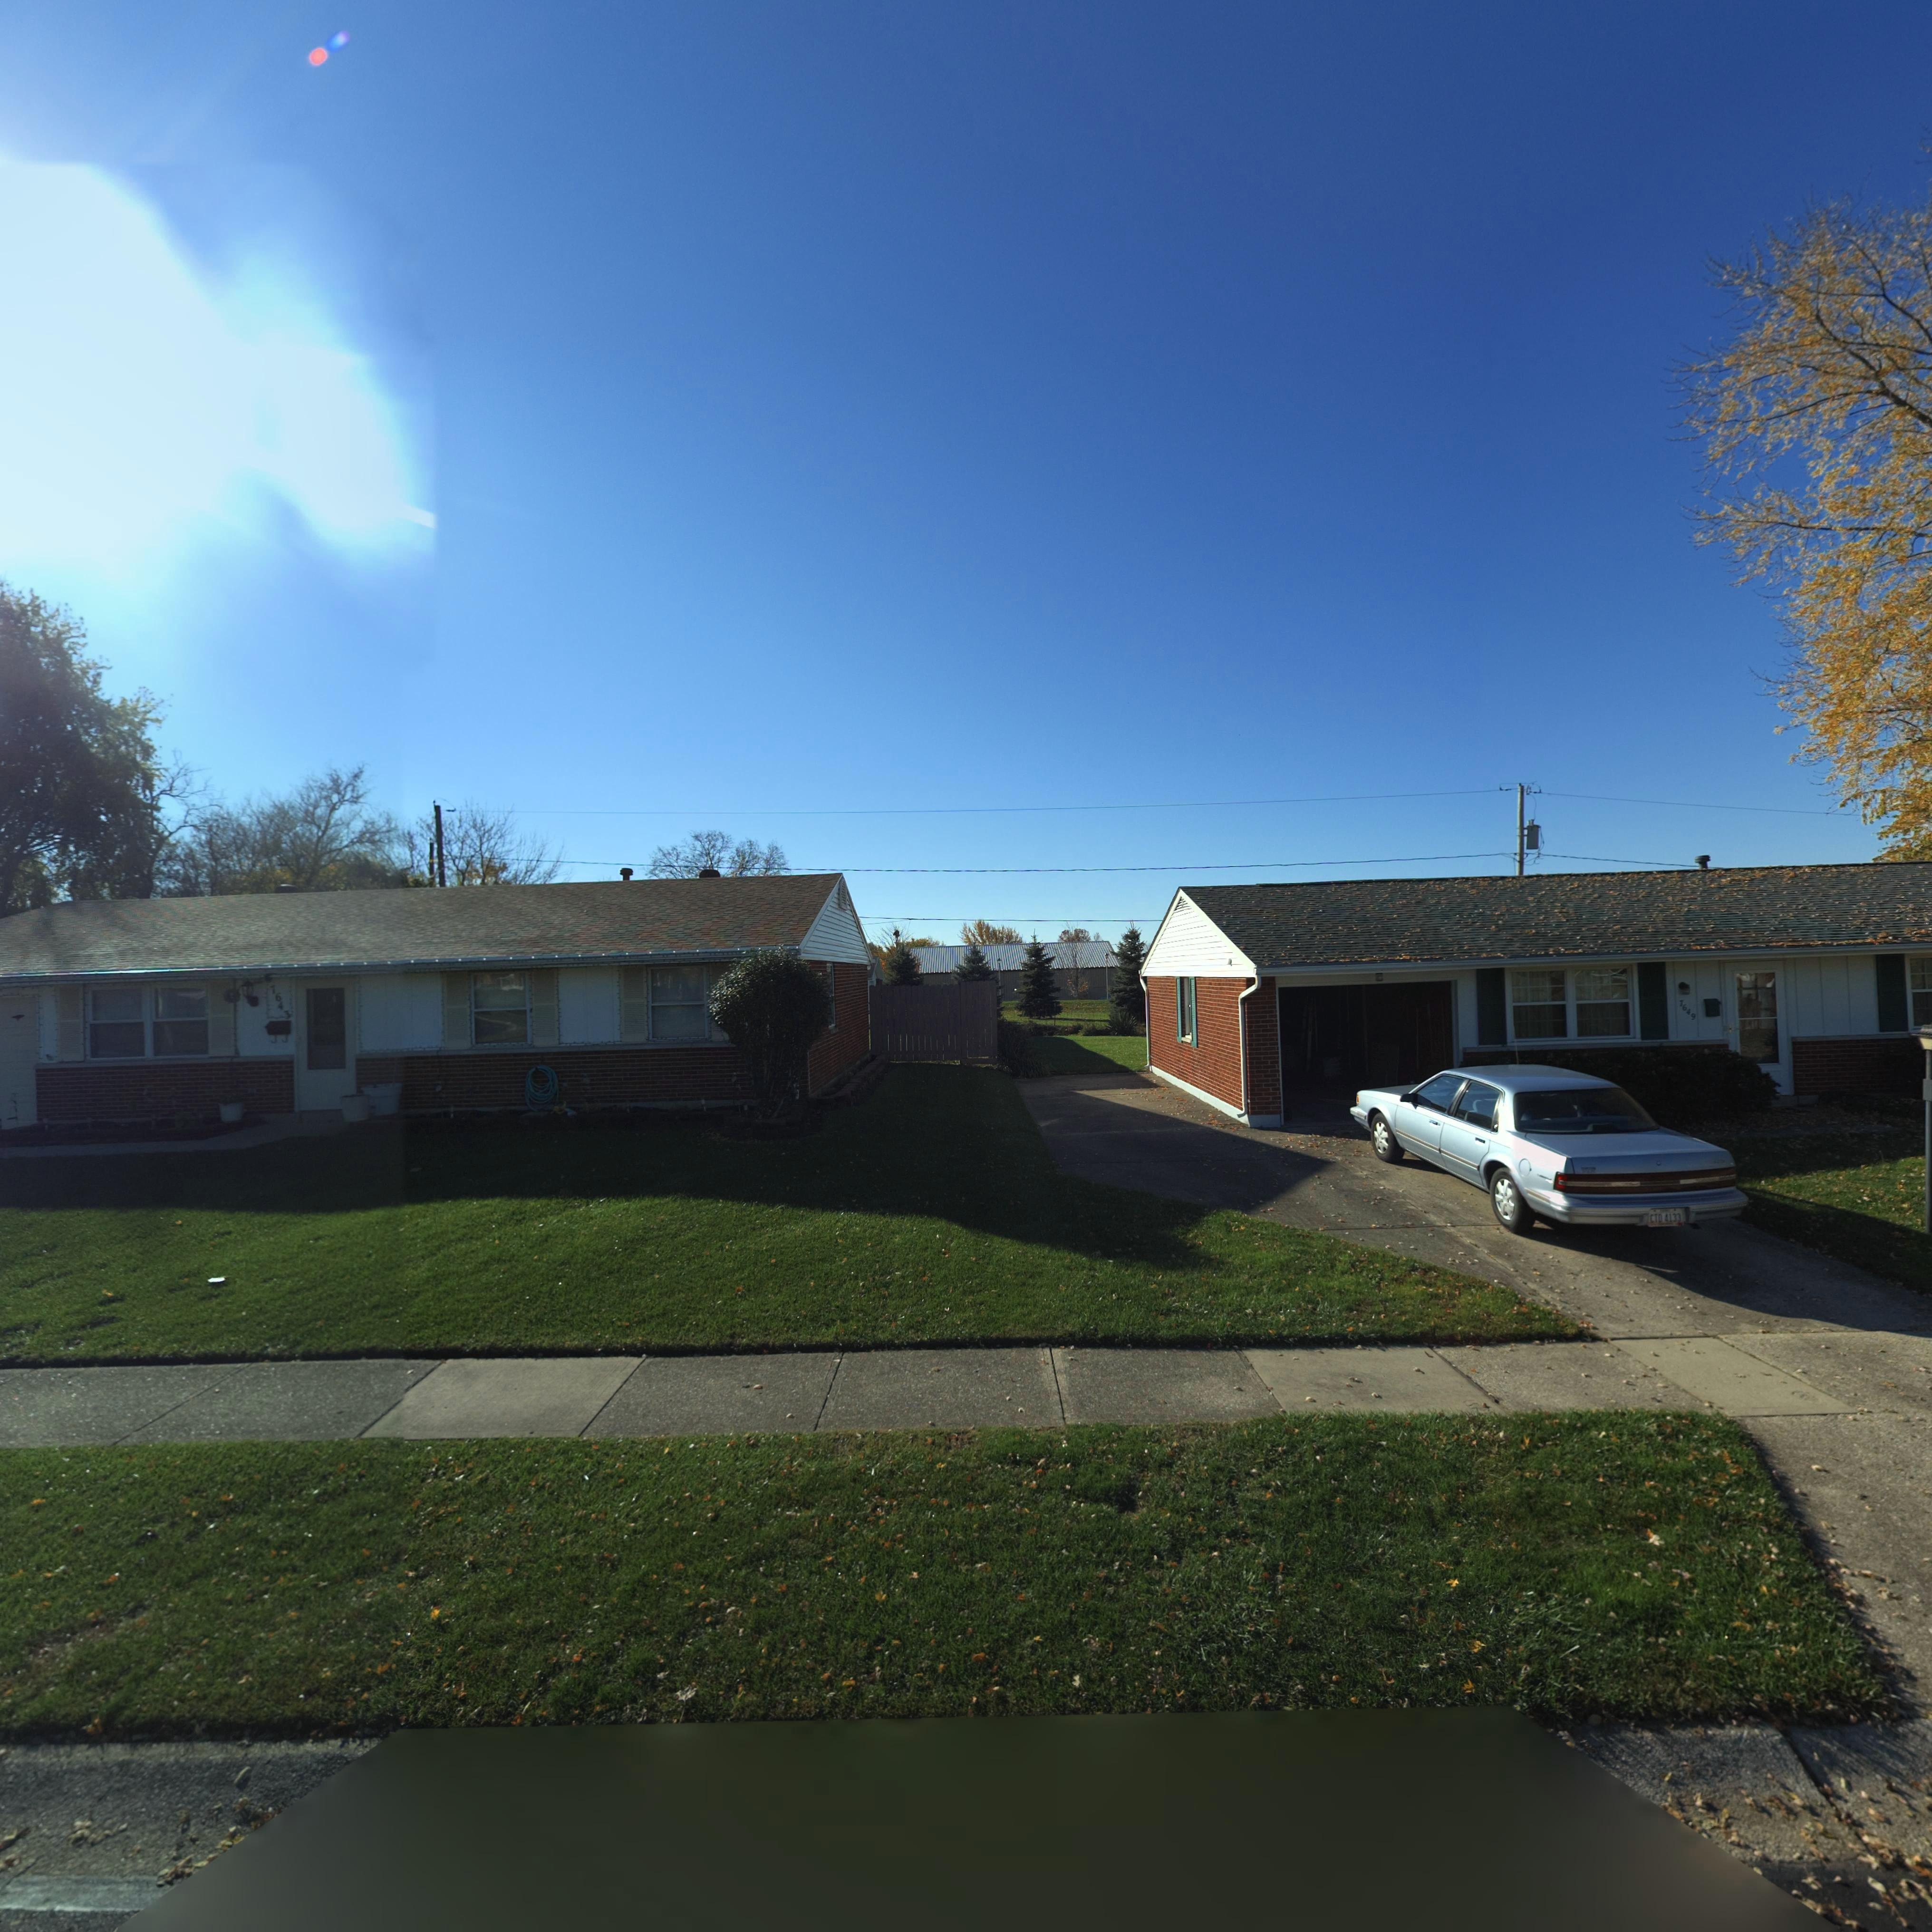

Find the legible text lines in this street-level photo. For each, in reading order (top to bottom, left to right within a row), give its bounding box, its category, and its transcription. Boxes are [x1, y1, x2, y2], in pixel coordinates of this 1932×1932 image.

[268, 983, 292, 1021] StreetNumber: 7643
[1678, 999, 1697, 1022] StreetNumber: 7649